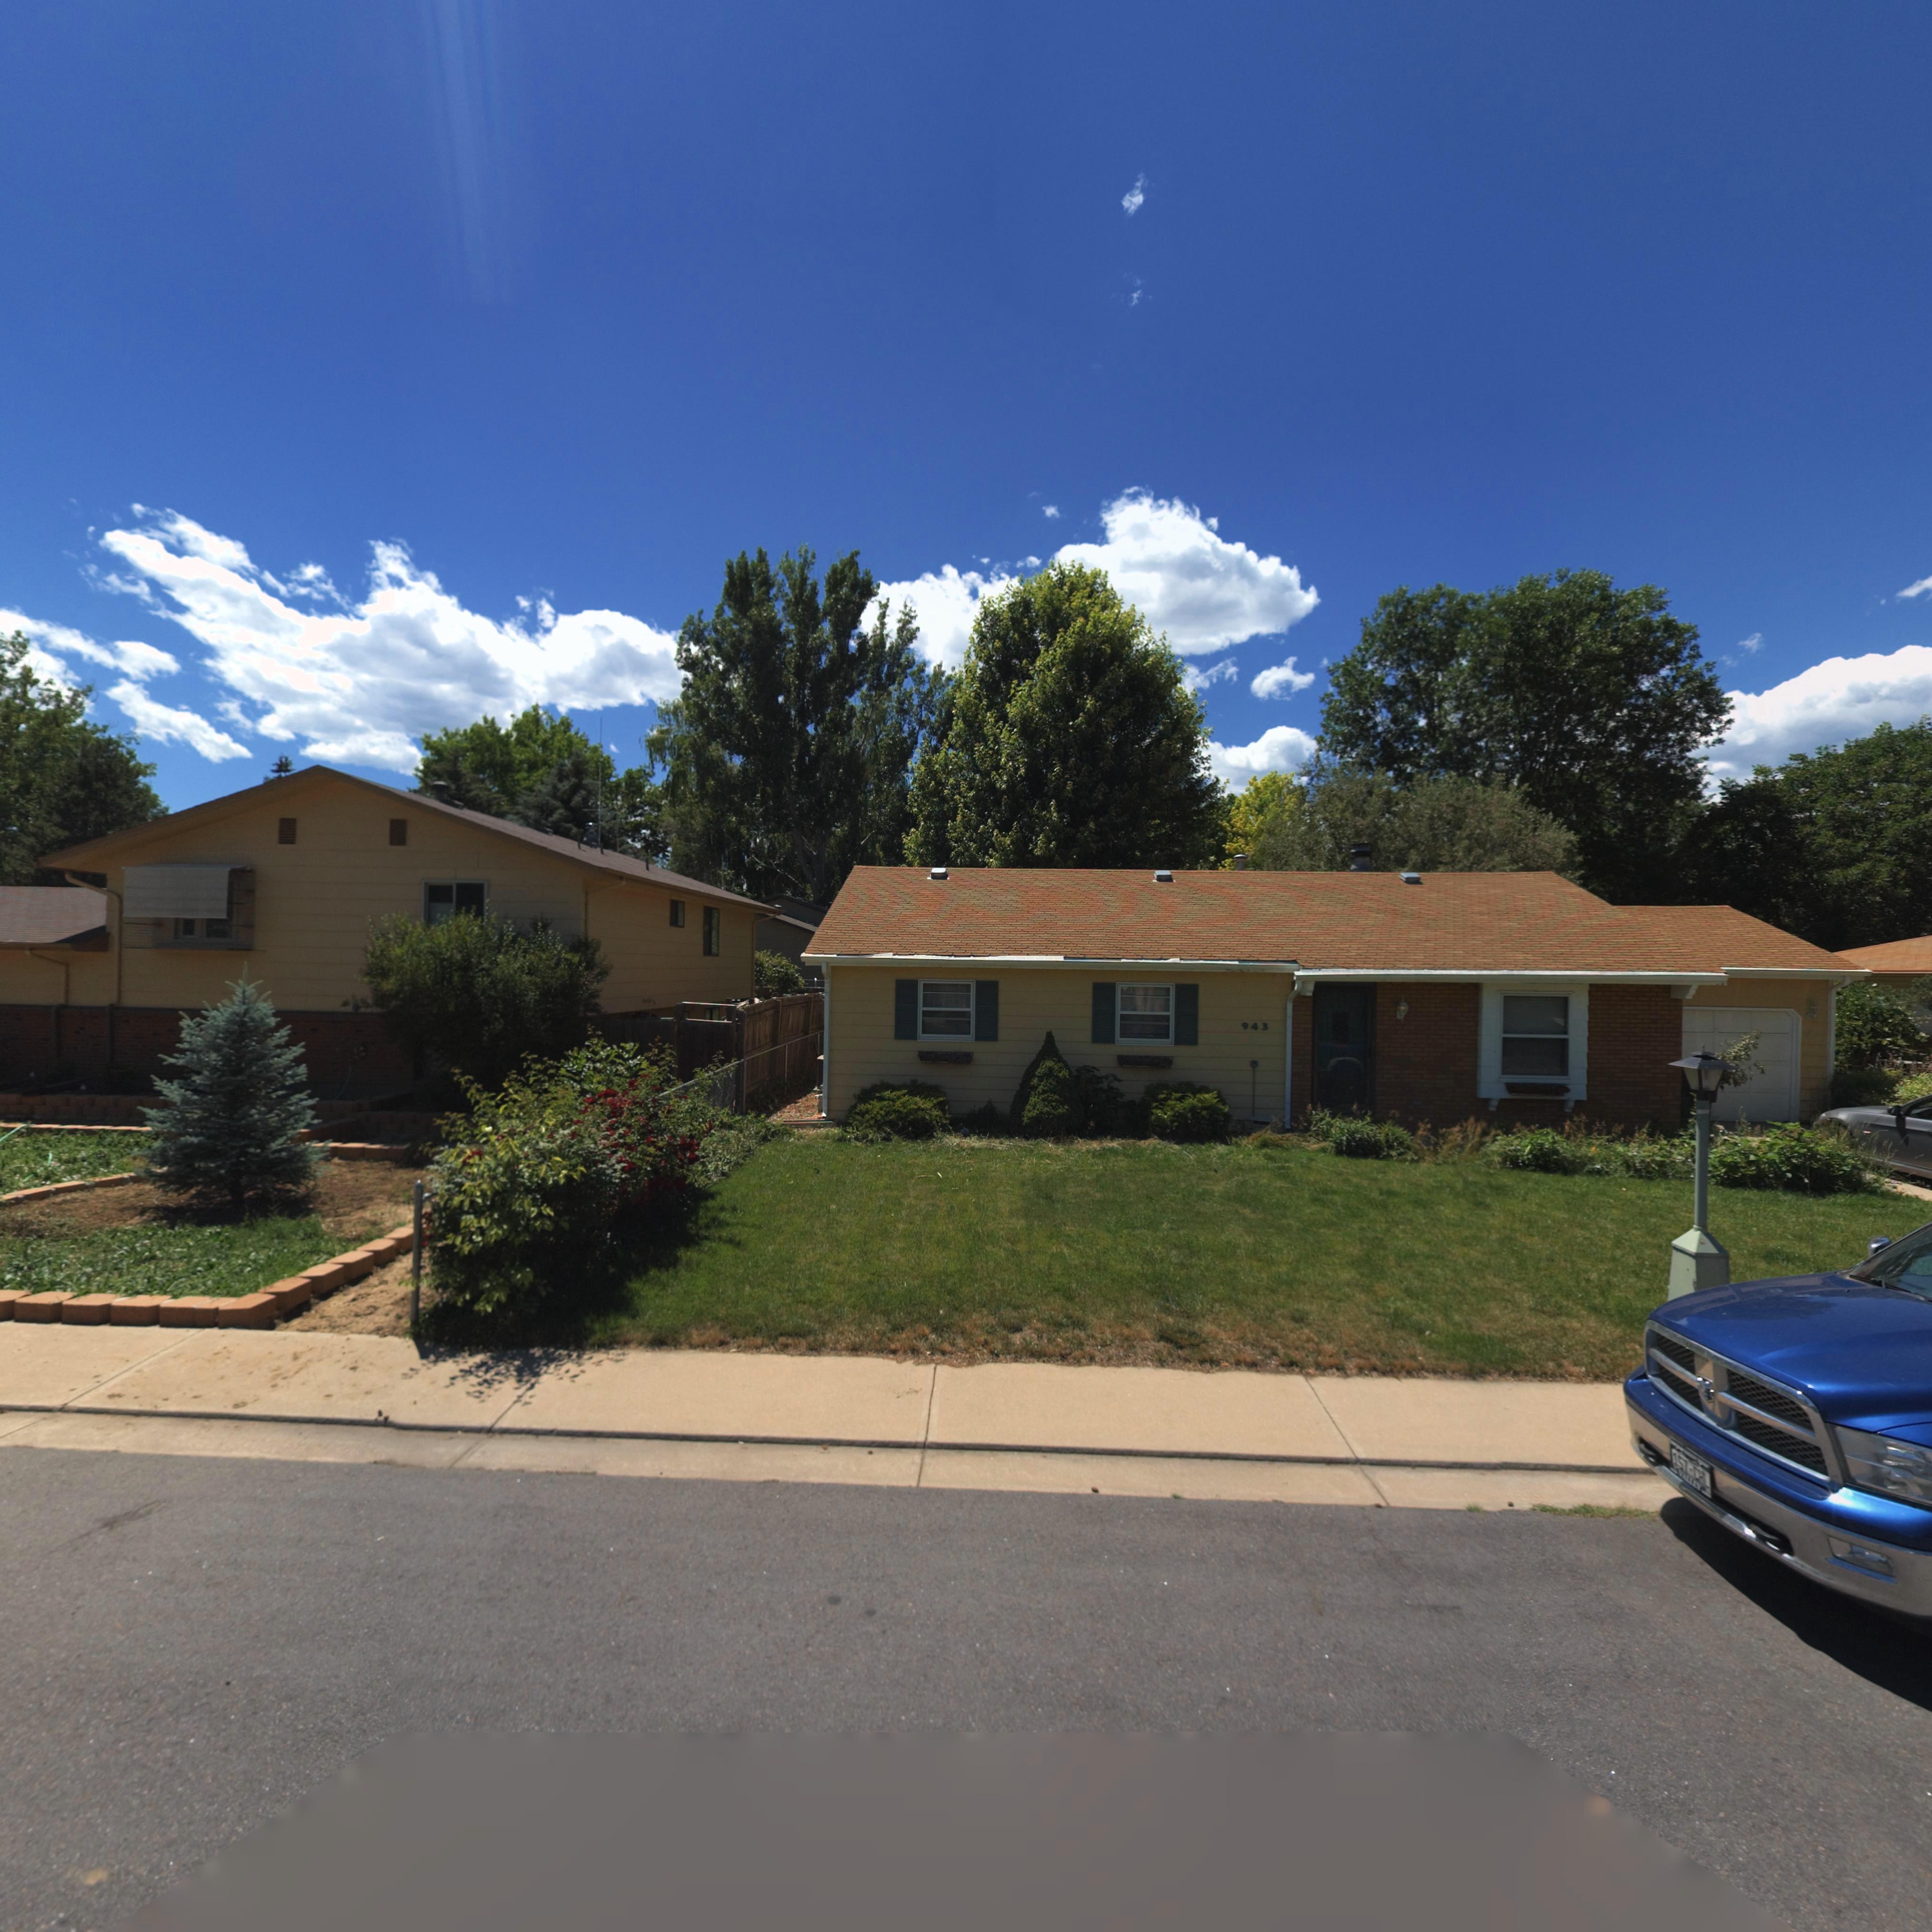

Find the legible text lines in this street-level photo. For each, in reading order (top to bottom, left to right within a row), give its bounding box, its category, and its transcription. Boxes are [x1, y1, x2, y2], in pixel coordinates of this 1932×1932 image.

[1241, 1022, 1269, 1031] StreetNumber: 943